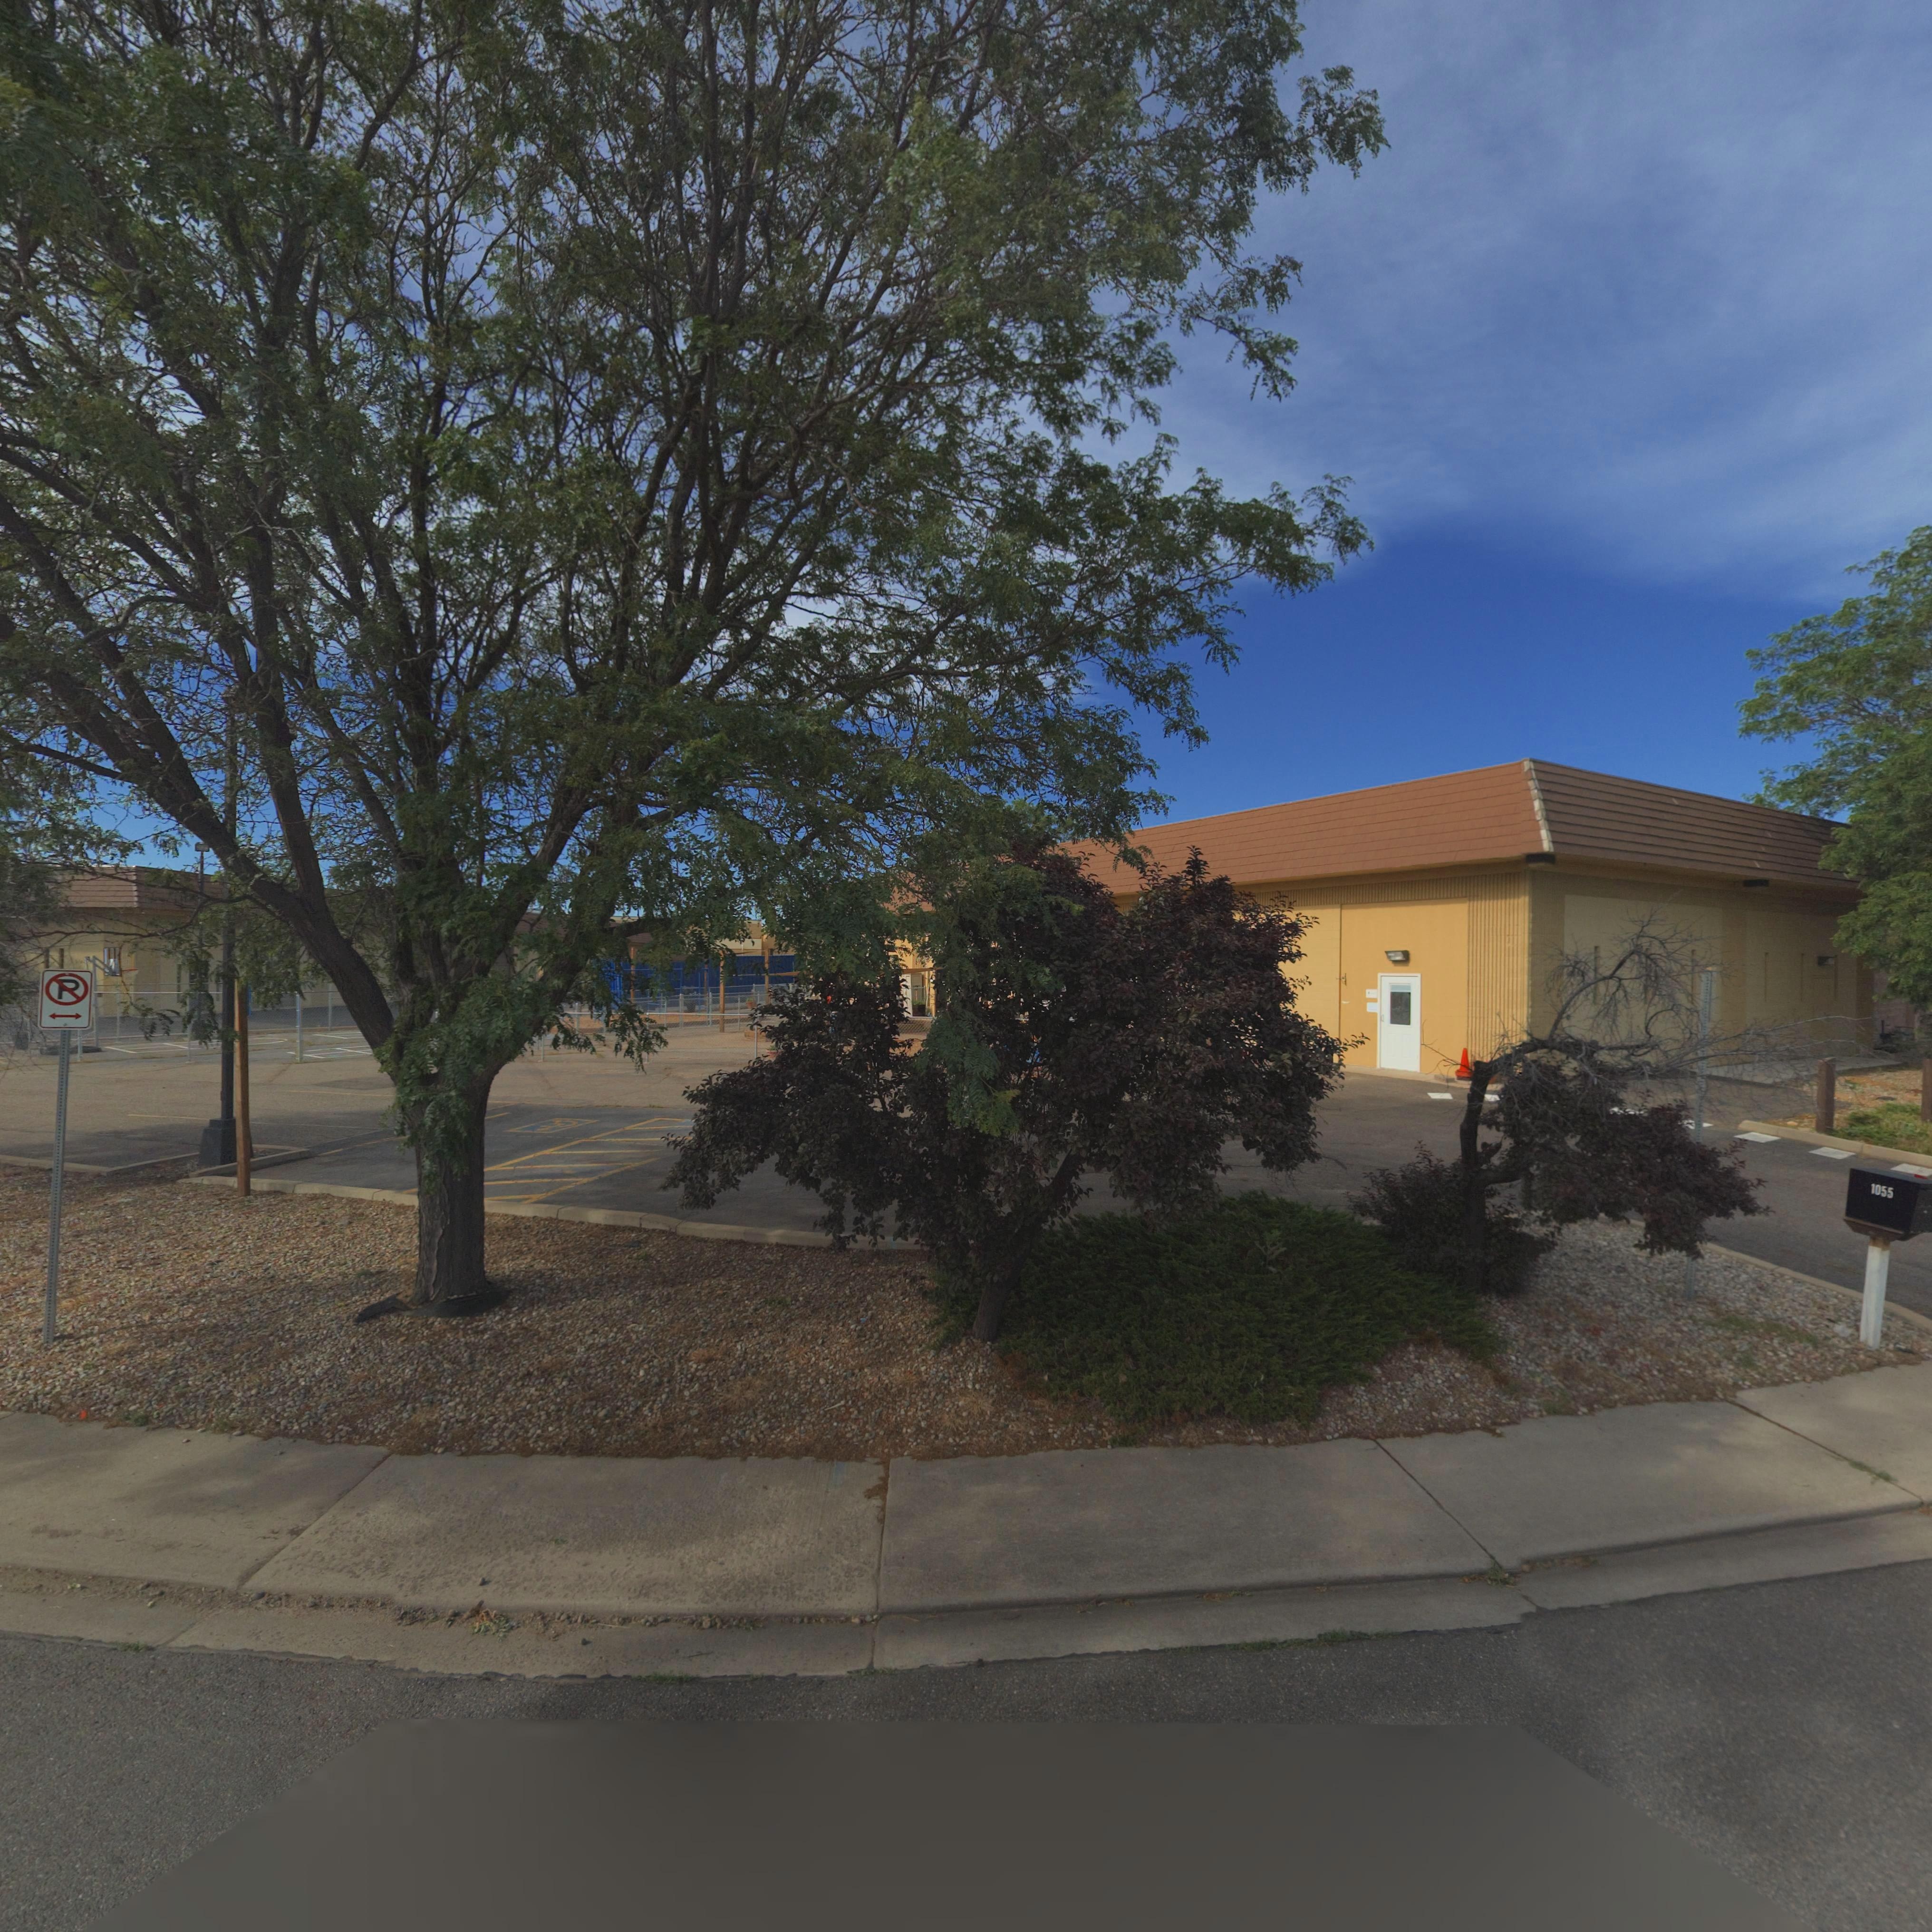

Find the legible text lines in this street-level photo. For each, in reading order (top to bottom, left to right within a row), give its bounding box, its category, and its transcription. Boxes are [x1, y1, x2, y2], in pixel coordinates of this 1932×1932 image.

[1870, 1182, 1893, 1199] StreetNumber: 1055